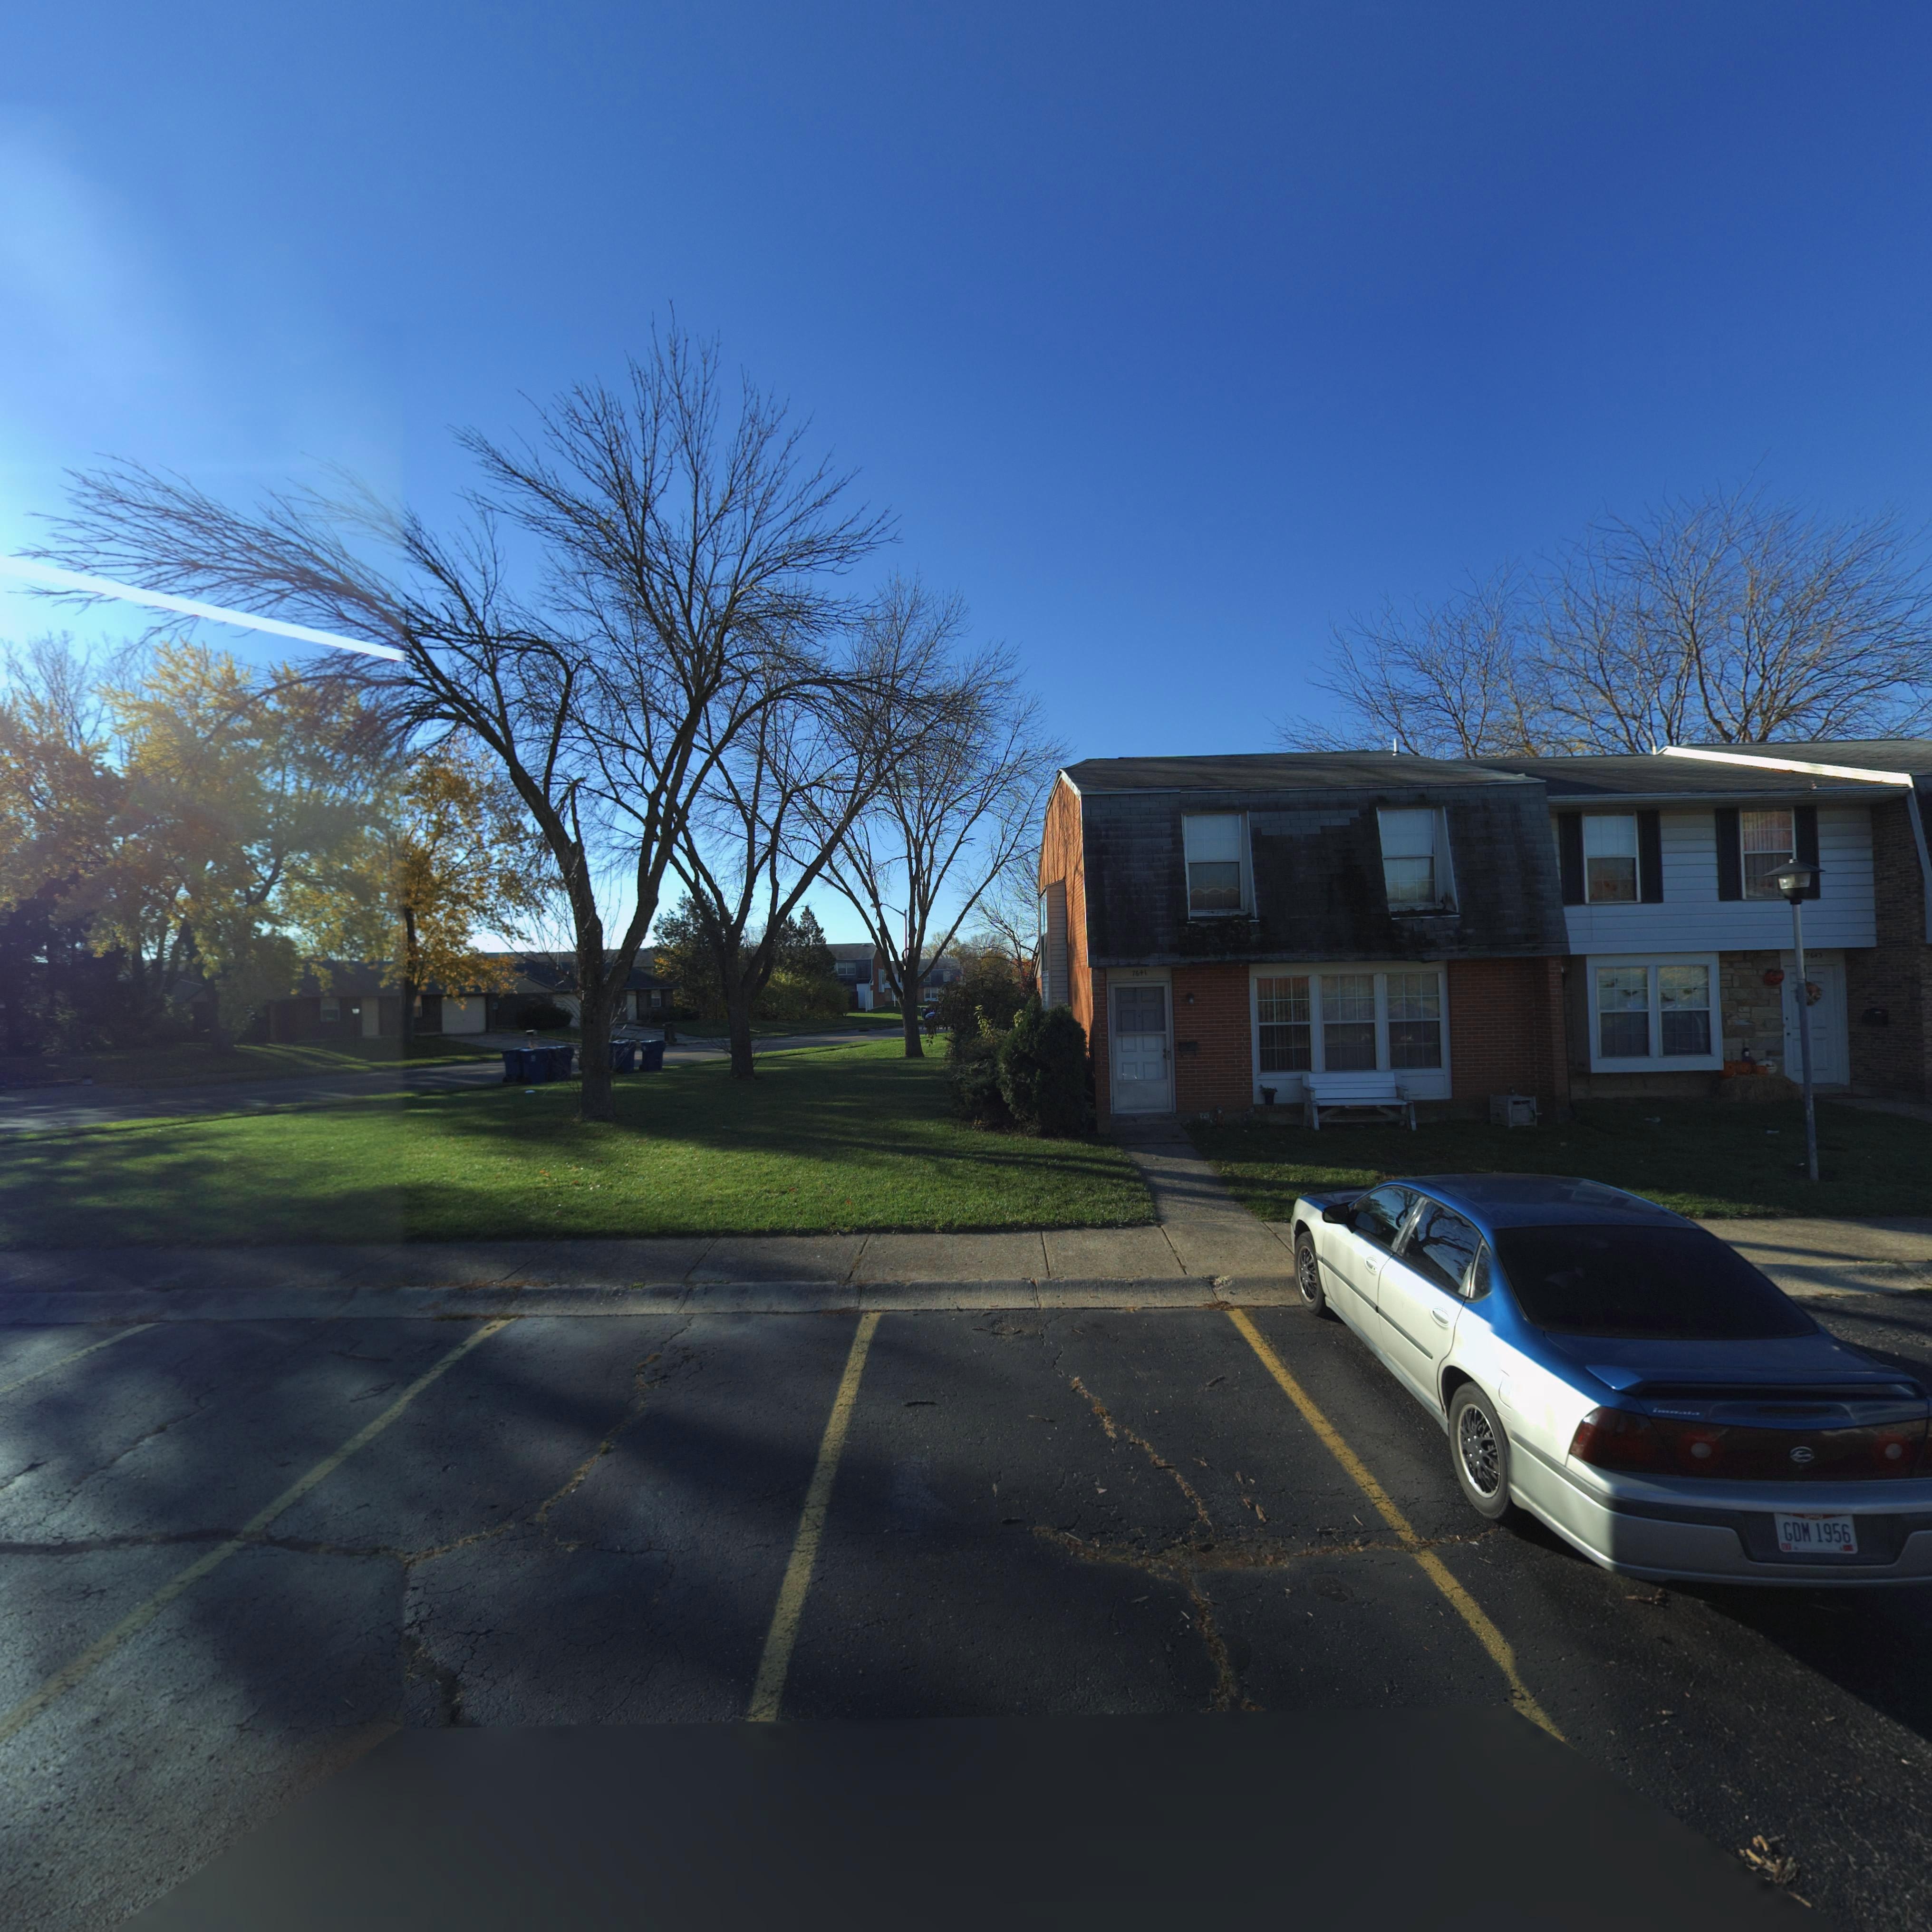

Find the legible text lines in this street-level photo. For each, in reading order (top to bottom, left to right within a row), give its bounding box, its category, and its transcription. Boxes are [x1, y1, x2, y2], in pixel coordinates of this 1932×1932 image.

[1804, 952, 1824, 959] StreetNumber: 7643
[1131, 968, 1148, 977] StreetNumber: 7641